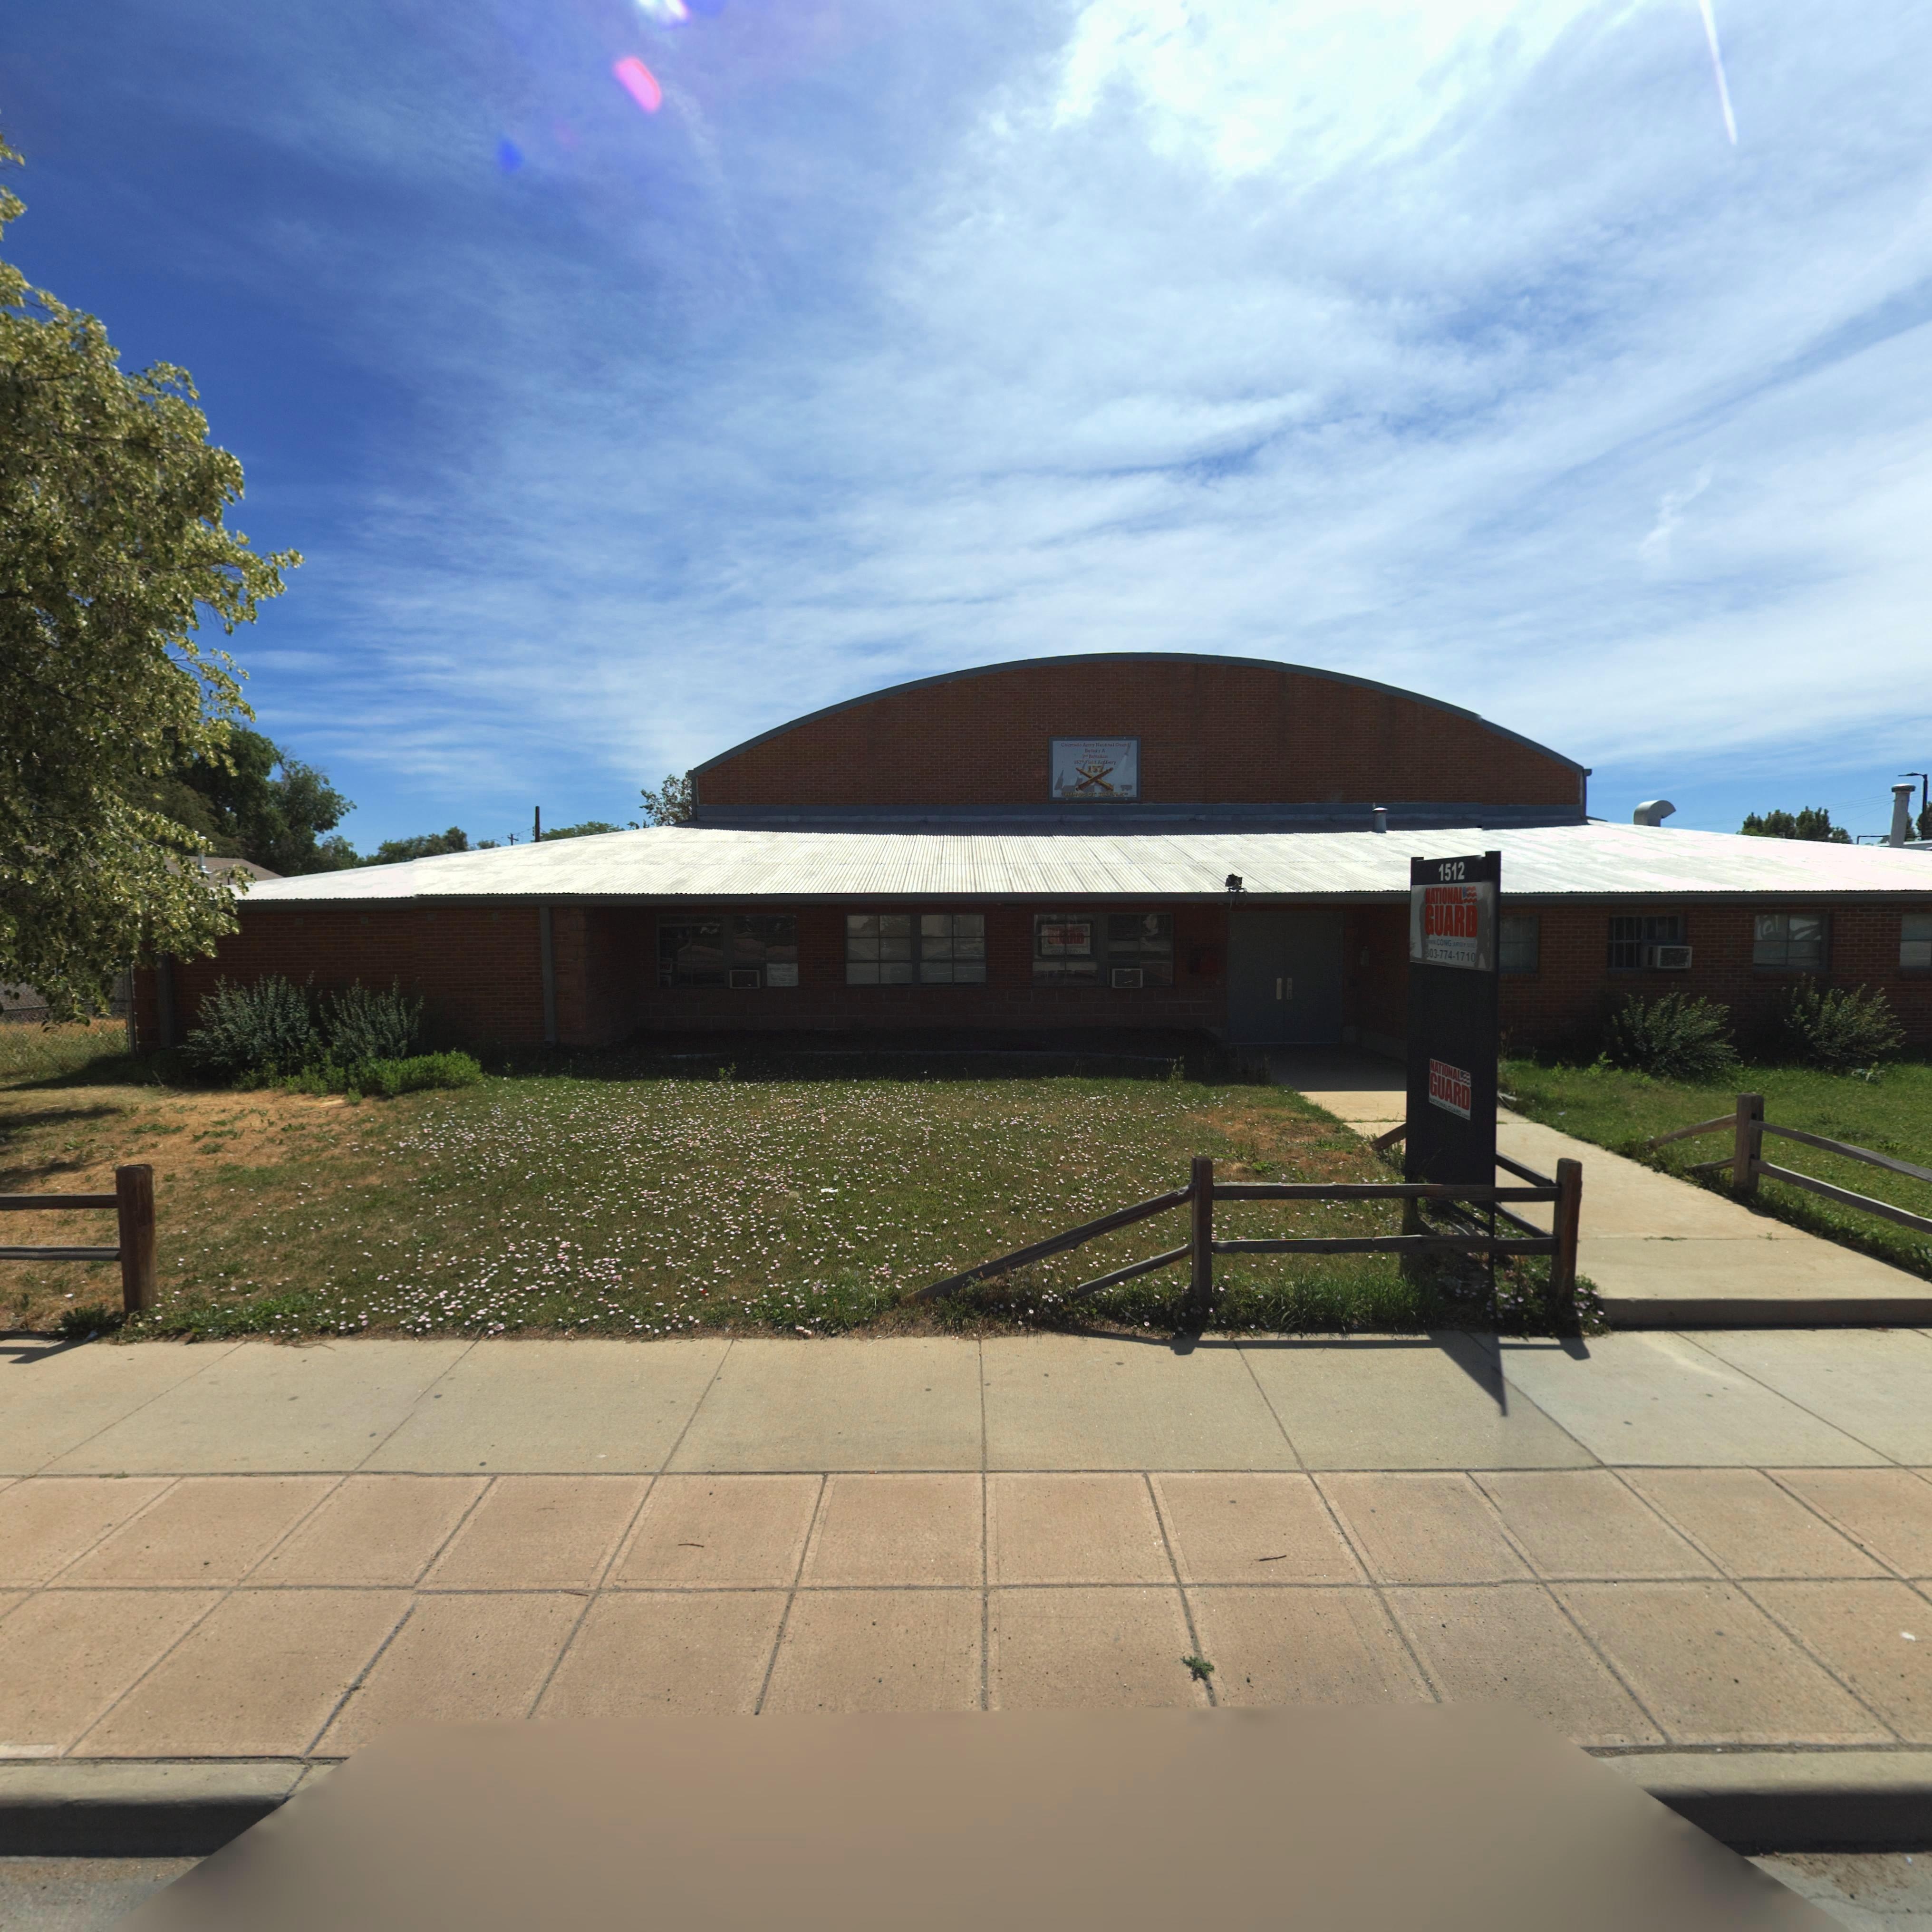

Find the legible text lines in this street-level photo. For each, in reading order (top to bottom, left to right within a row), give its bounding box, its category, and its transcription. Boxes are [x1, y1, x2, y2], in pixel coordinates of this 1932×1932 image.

[1061, 742, 1129, 747] BusinessName: Colorado Ar*y Na****al G**rd
[1439, 861, 1465, 881] StreetNumber: 1512
[1425, 886, 1463, 904] BusinessName: NATIONAL
[1047, 927, 1076, 933] BusinessName: *A****AL
[1047, 932, 1084, 944] BusinessName: GU*RD
[1424, 905, 1477, 937] BusinessName: GUARD
[1430, 1060, 1461, 1082] BusinessName: NATIONAL
[1430, 1072, 1470, 1111] BusinessName: GUARD